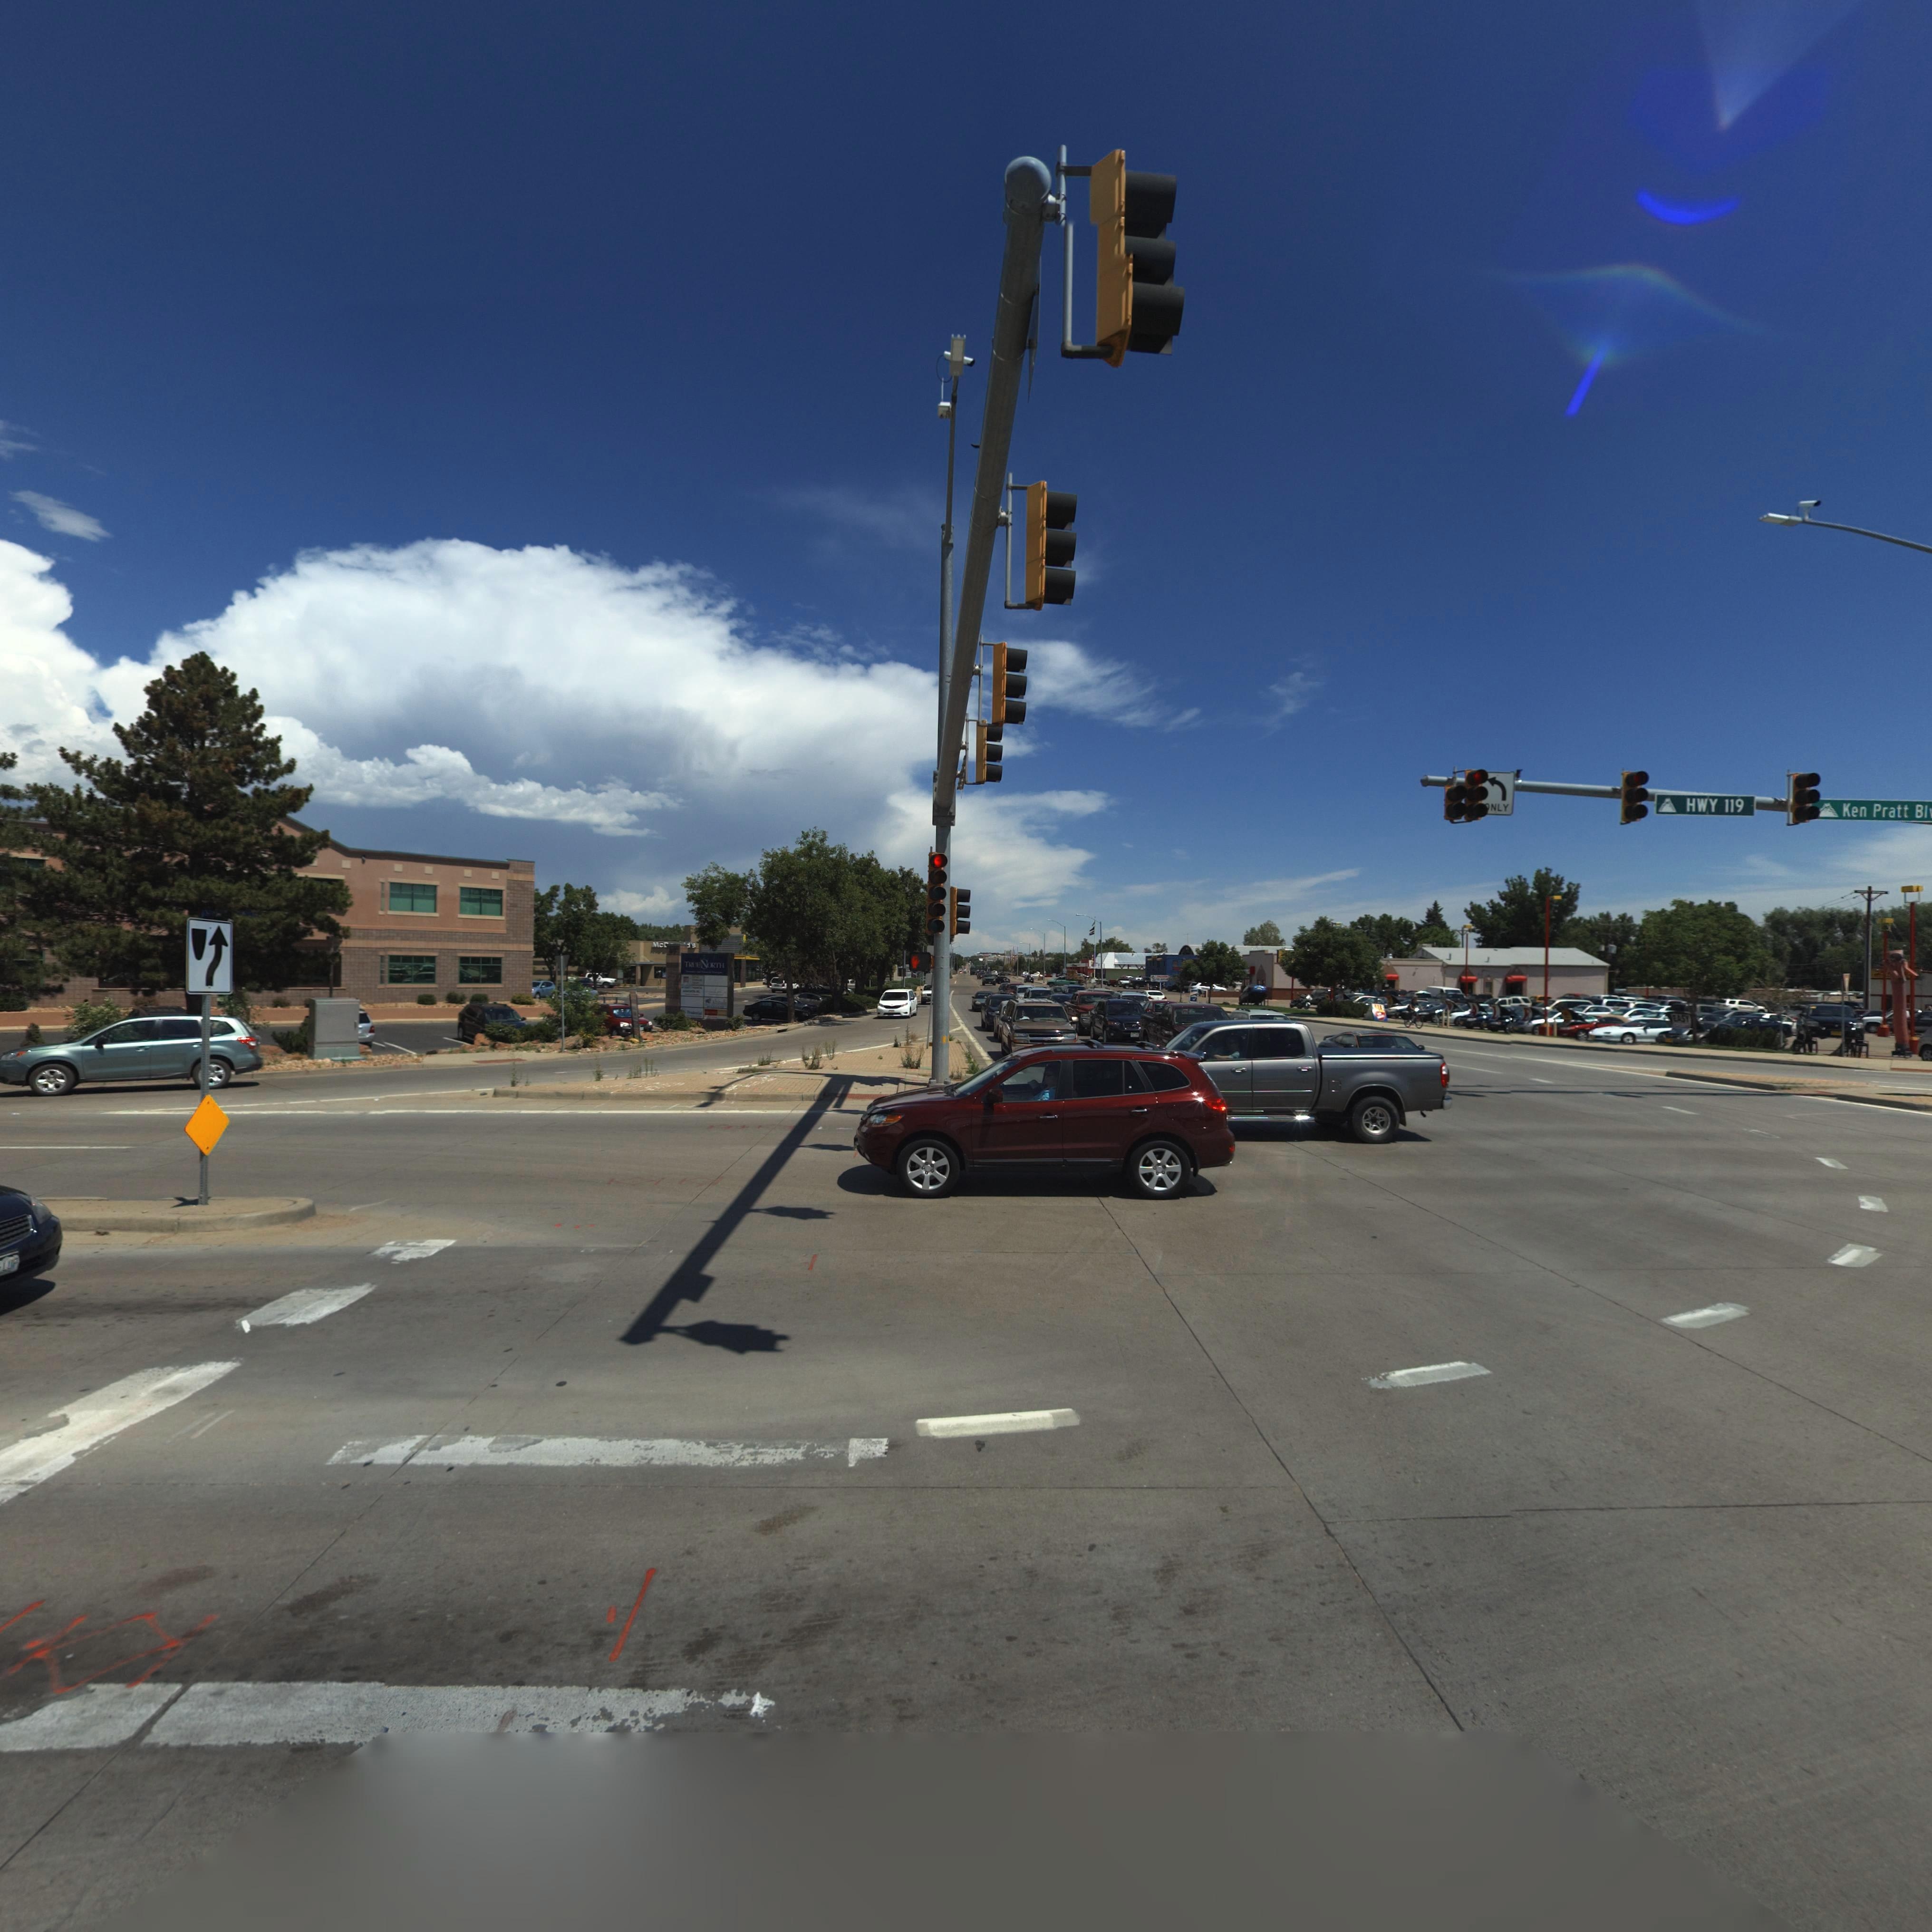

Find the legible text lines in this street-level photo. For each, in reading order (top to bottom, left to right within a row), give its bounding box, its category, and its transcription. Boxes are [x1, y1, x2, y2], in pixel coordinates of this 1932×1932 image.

[1686, 797, 1745, 813] StreetName: HWY 119
[1843, 802, 1928, 818] StreetName: Ken Pratt Bl
[652, 942, 696, 948] BusinessName: Mc******'s
[684, 959, 724, 968] BusinessName: TRUENORTH